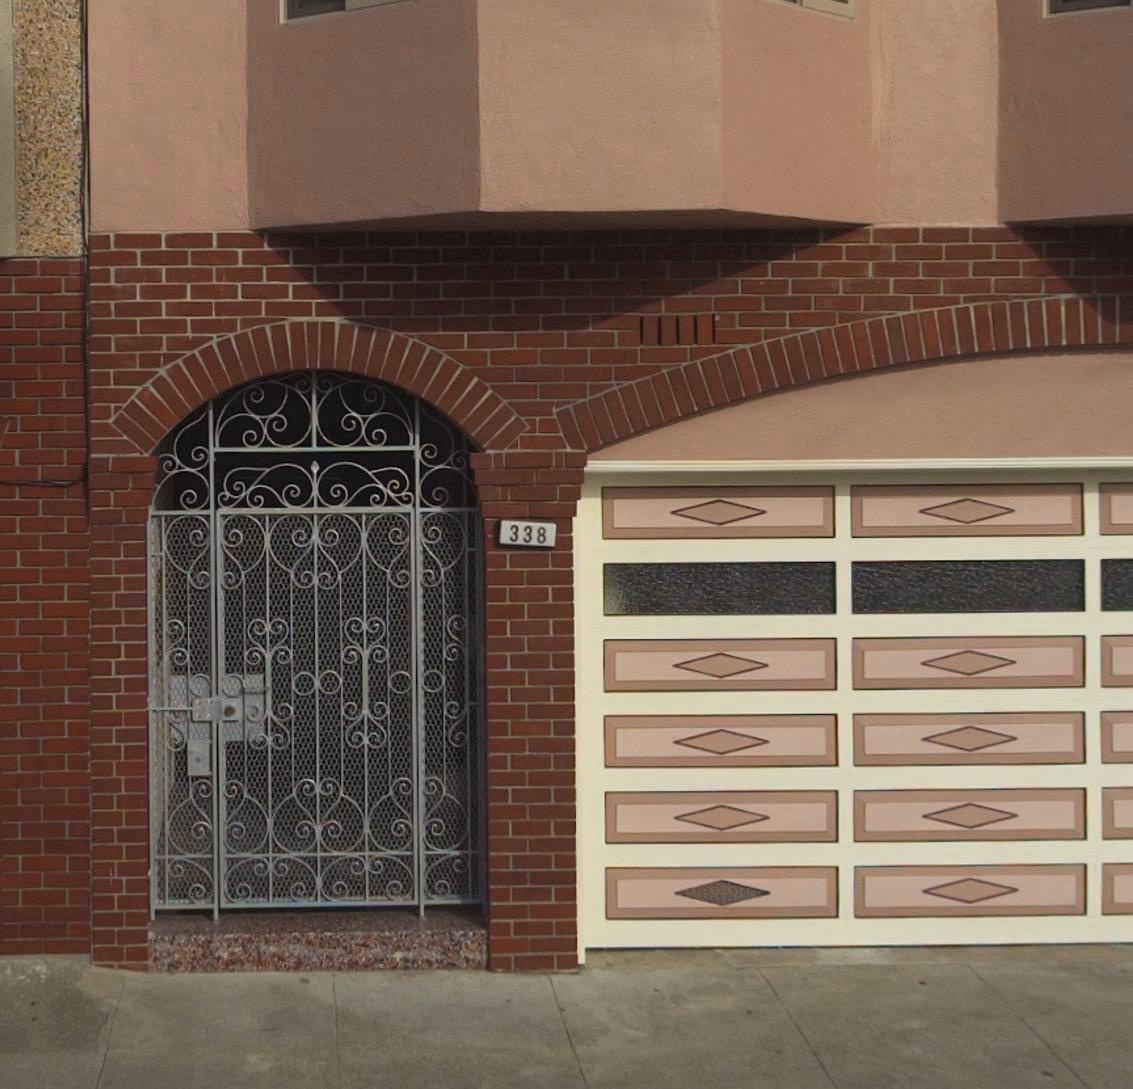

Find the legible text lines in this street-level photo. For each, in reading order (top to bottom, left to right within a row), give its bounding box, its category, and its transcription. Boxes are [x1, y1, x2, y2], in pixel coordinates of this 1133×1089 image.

[508, 523, 547, 545] StreetNumber: 338